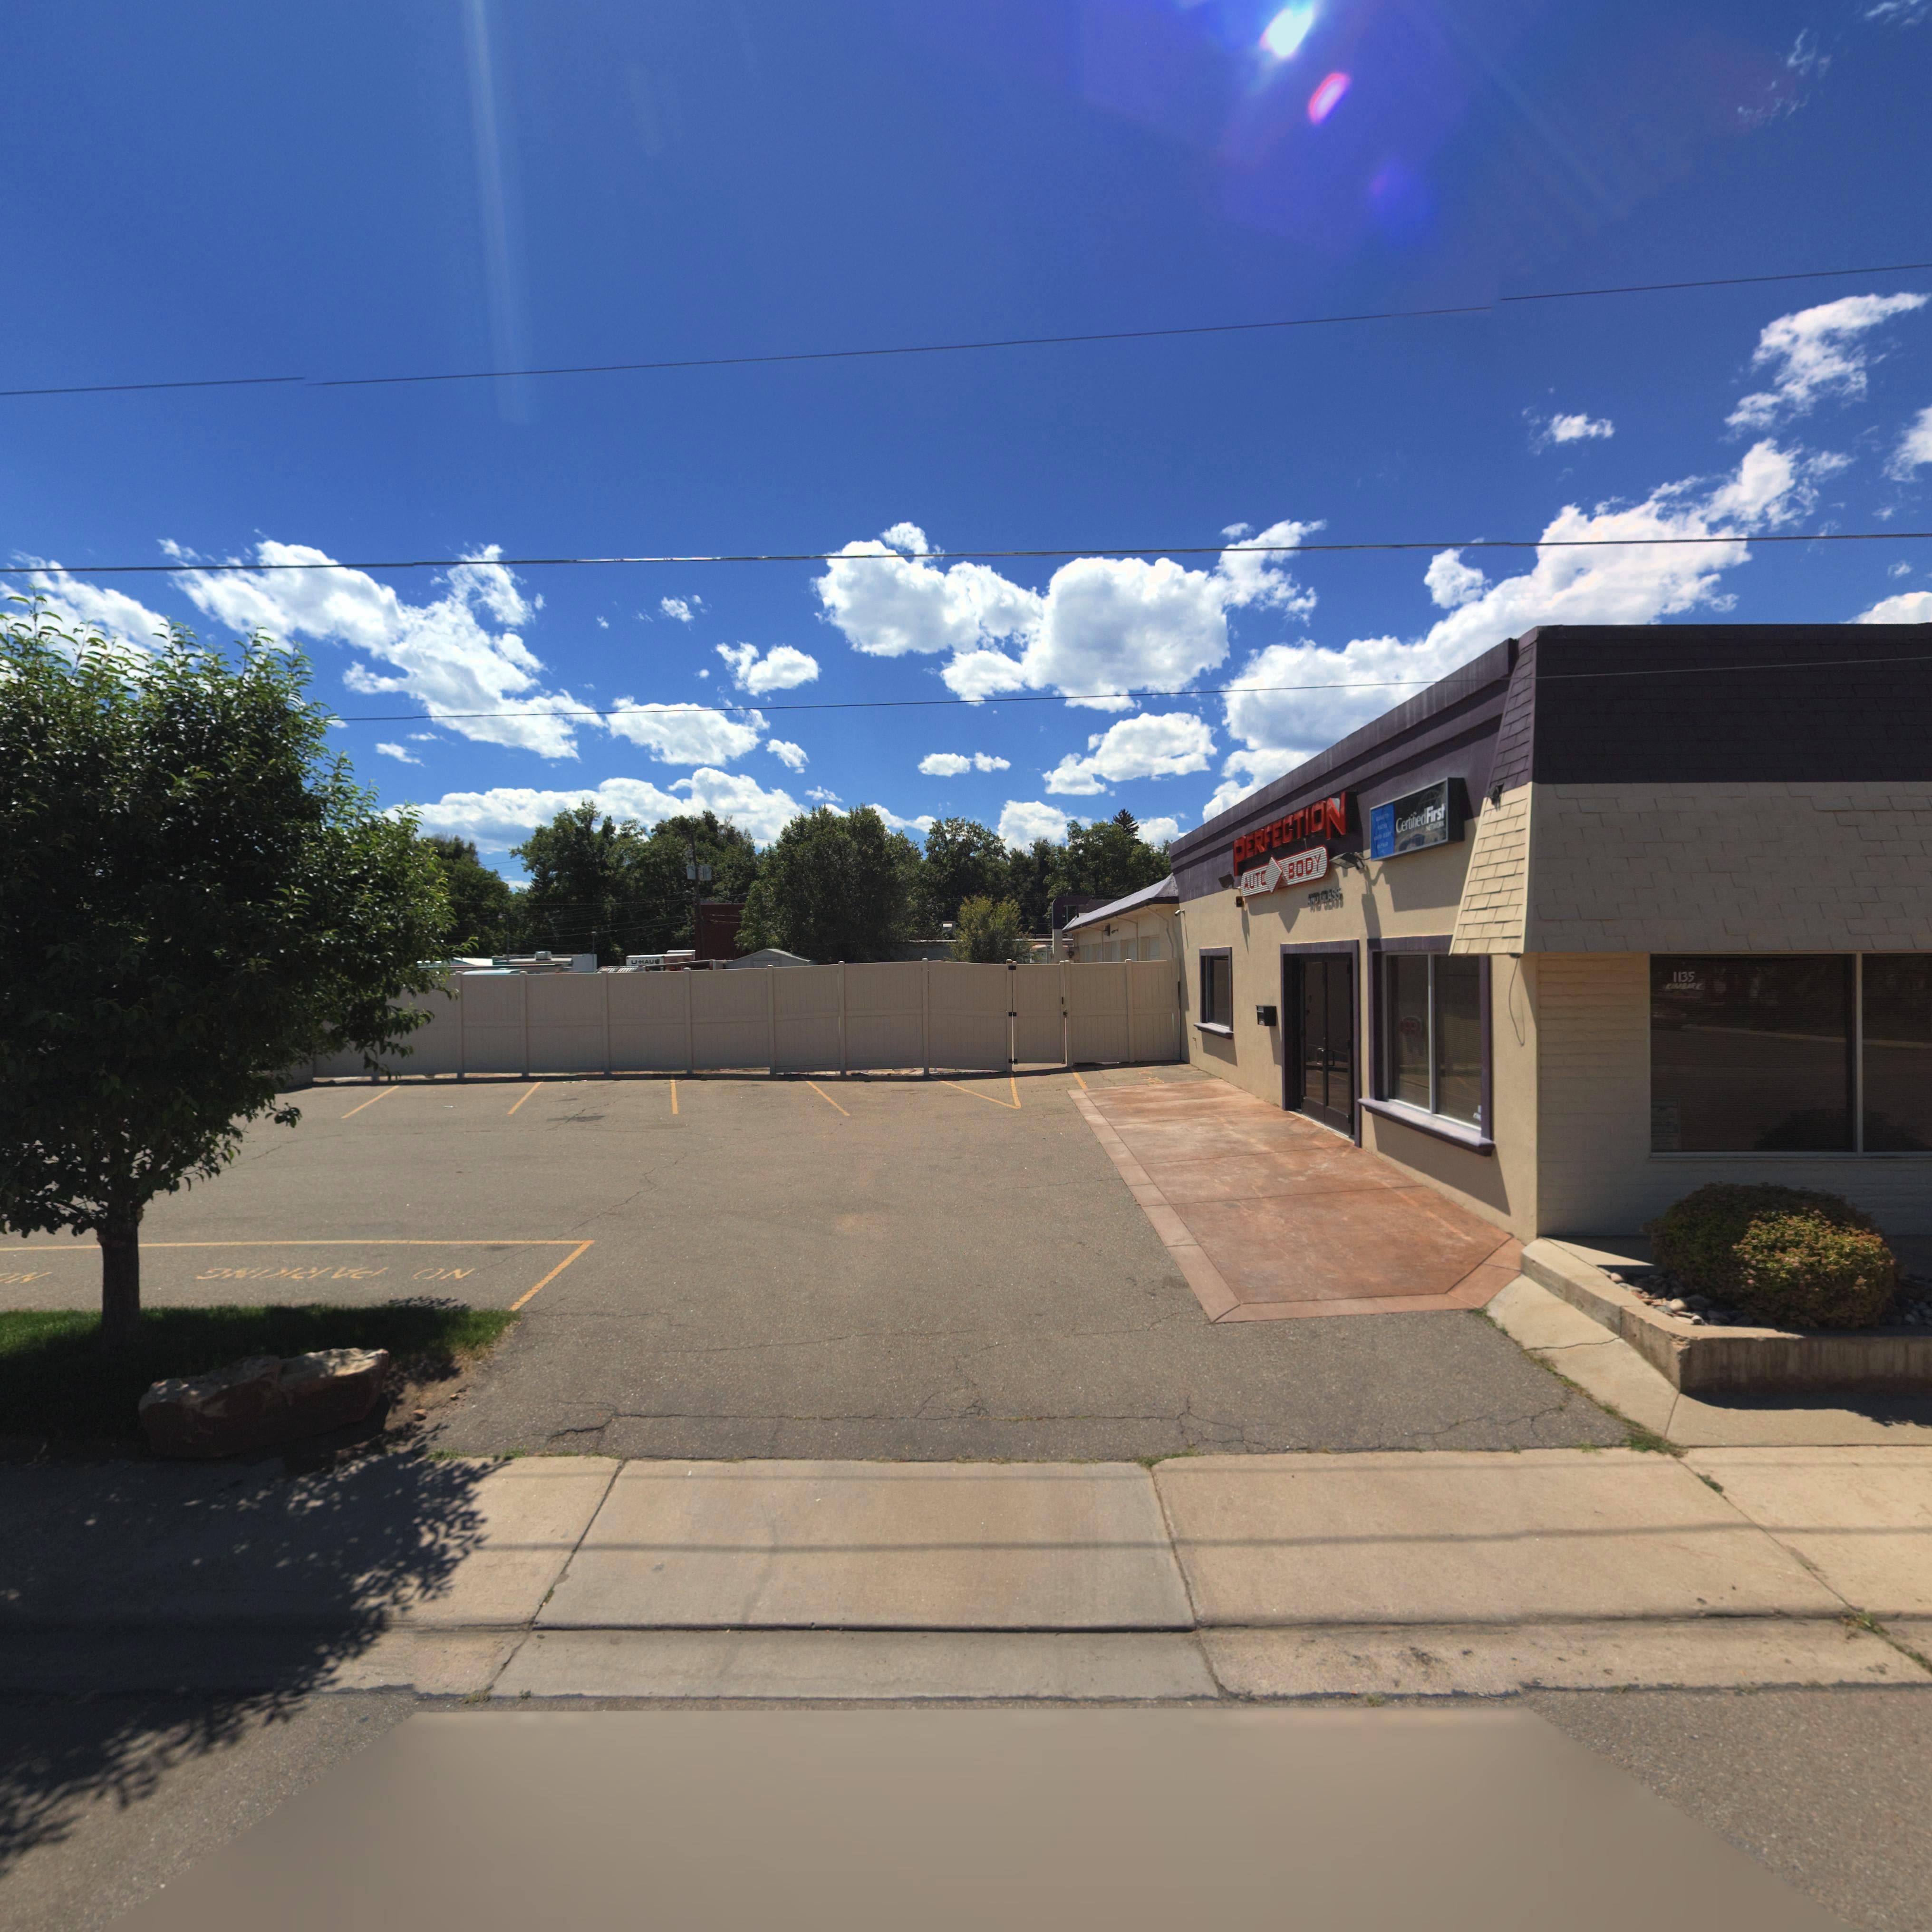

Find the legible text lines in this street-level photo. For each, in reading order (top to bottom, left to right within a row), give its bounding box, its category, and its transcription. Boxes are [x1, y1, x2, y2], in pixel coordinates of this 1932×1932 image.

[1232, 790, 1347, 877] BusinessName: PERFECTION
[1395, 802, 1446, 834] BusinessName: CertifiedFirst
[1425, 819, 1445, 831] BusinessName: NETWORK
[1243, 853, 1322, 891] BusinessName: AUT* BODY
[1671, 971, 1695, 982] StreetNumber: 1135
[1663, 982, 1704, 990] StreetName: KIMBARK